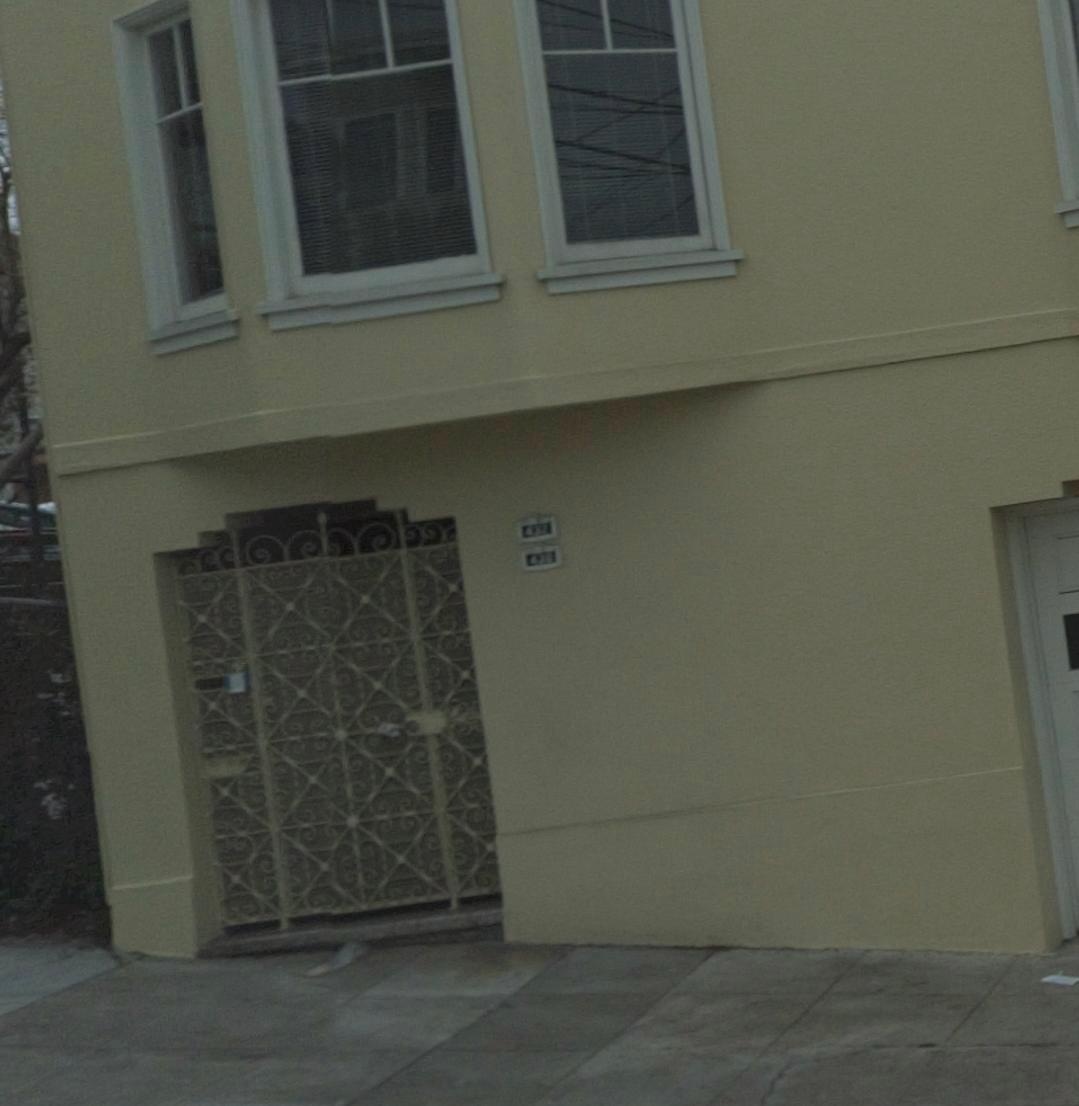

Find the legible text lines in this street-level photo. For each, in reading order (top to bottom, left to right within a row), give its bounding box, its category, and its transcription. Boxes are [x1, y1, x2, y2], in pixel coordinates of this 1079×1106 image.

[524, 522, 551, 538] StreetNumber: 432
[529, 551, 555, 566] StreetNumber: 428